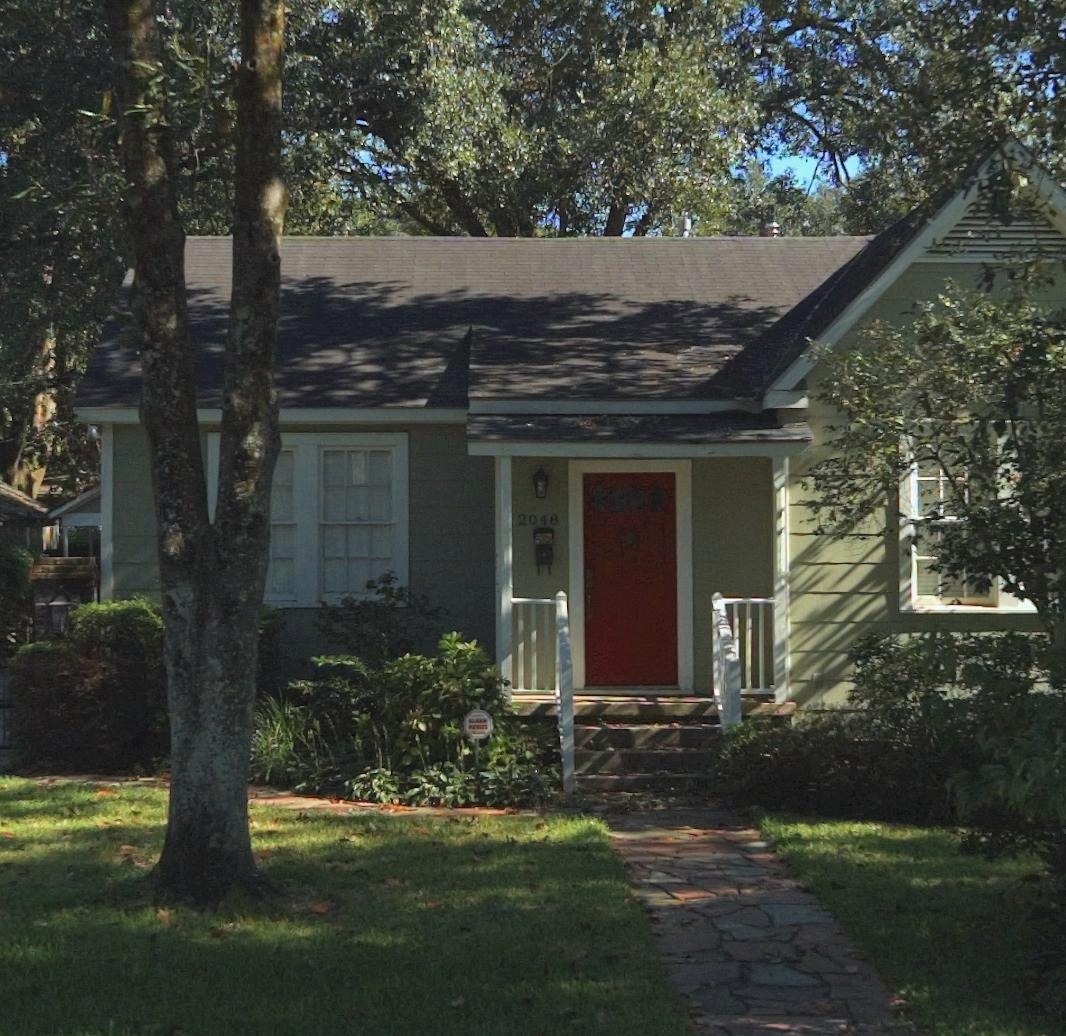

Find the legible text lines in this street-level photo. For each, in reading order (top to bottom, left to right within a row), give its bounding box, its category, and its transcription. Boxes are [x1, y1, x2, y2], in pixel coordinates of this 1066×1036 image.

[516, 512, 560, 527] StreetNumber: 2048